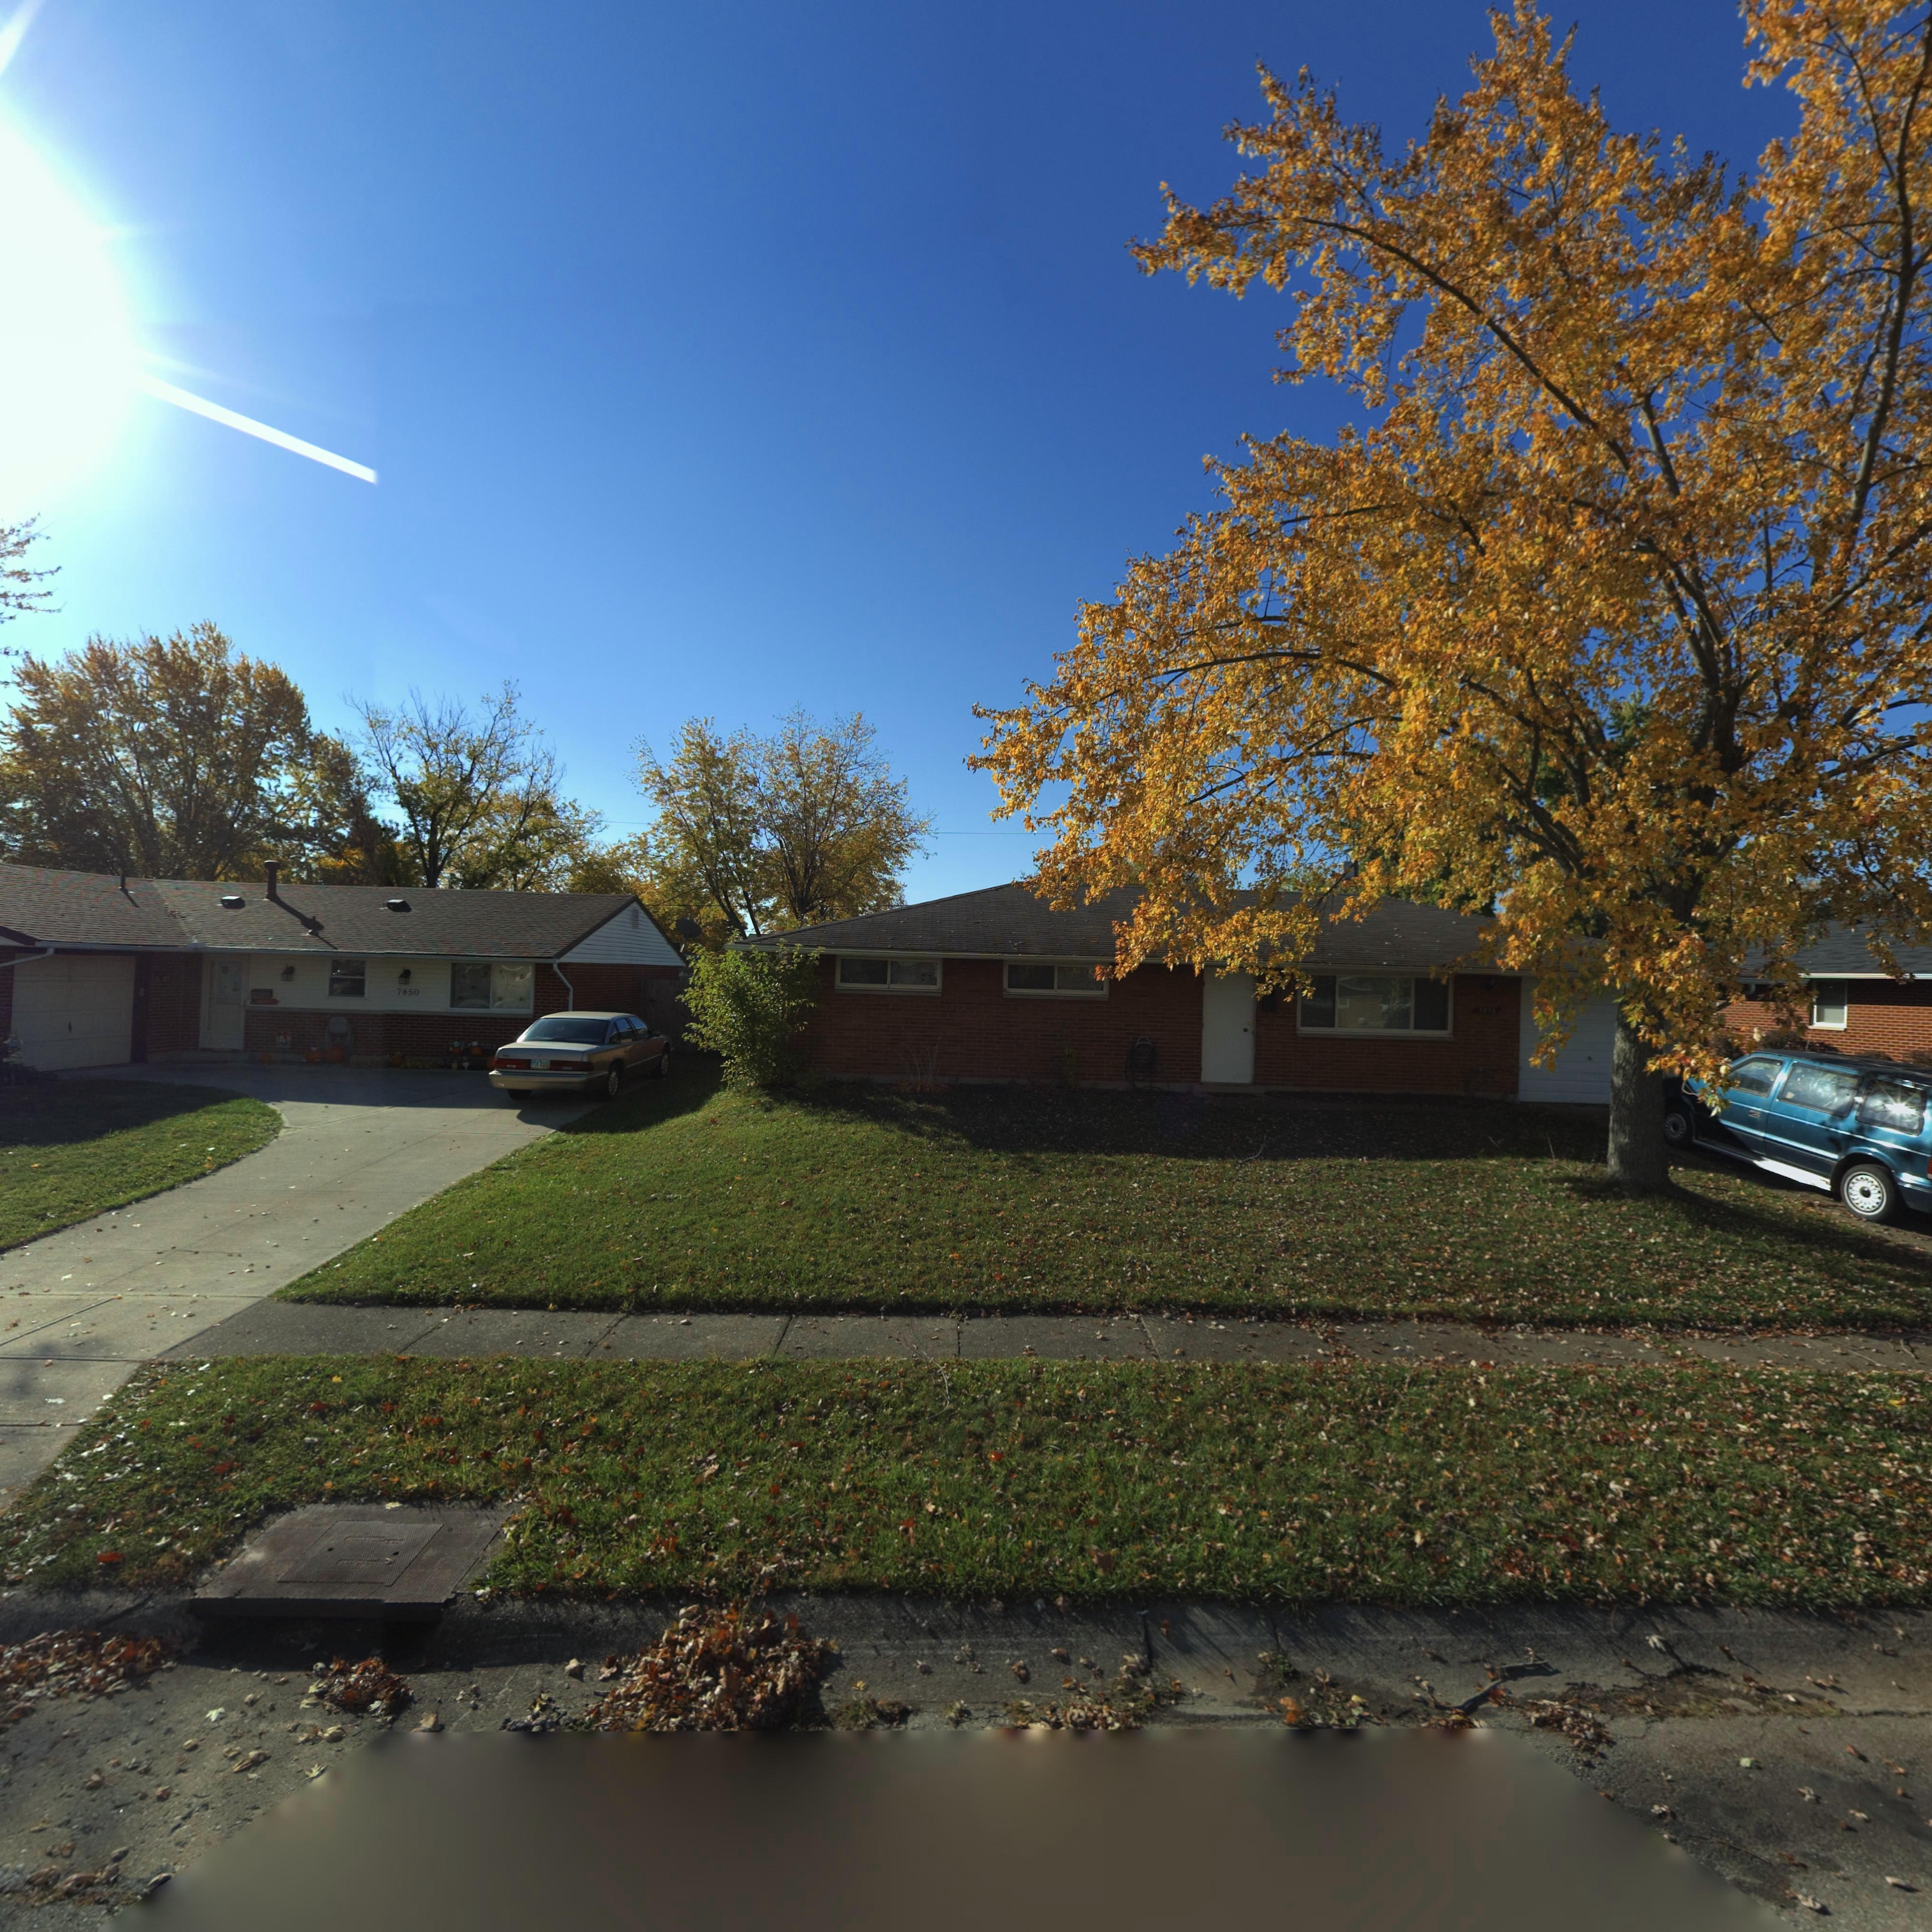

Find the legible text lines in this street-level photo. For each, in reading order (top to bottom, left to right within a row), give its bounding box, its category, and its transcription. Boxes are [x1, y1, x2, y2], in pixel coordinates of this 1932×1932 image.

[396, 988, 420, 996] StreetNumber: 7850
[1477, 1007, 1496, 1014] StreetNumber: 7***